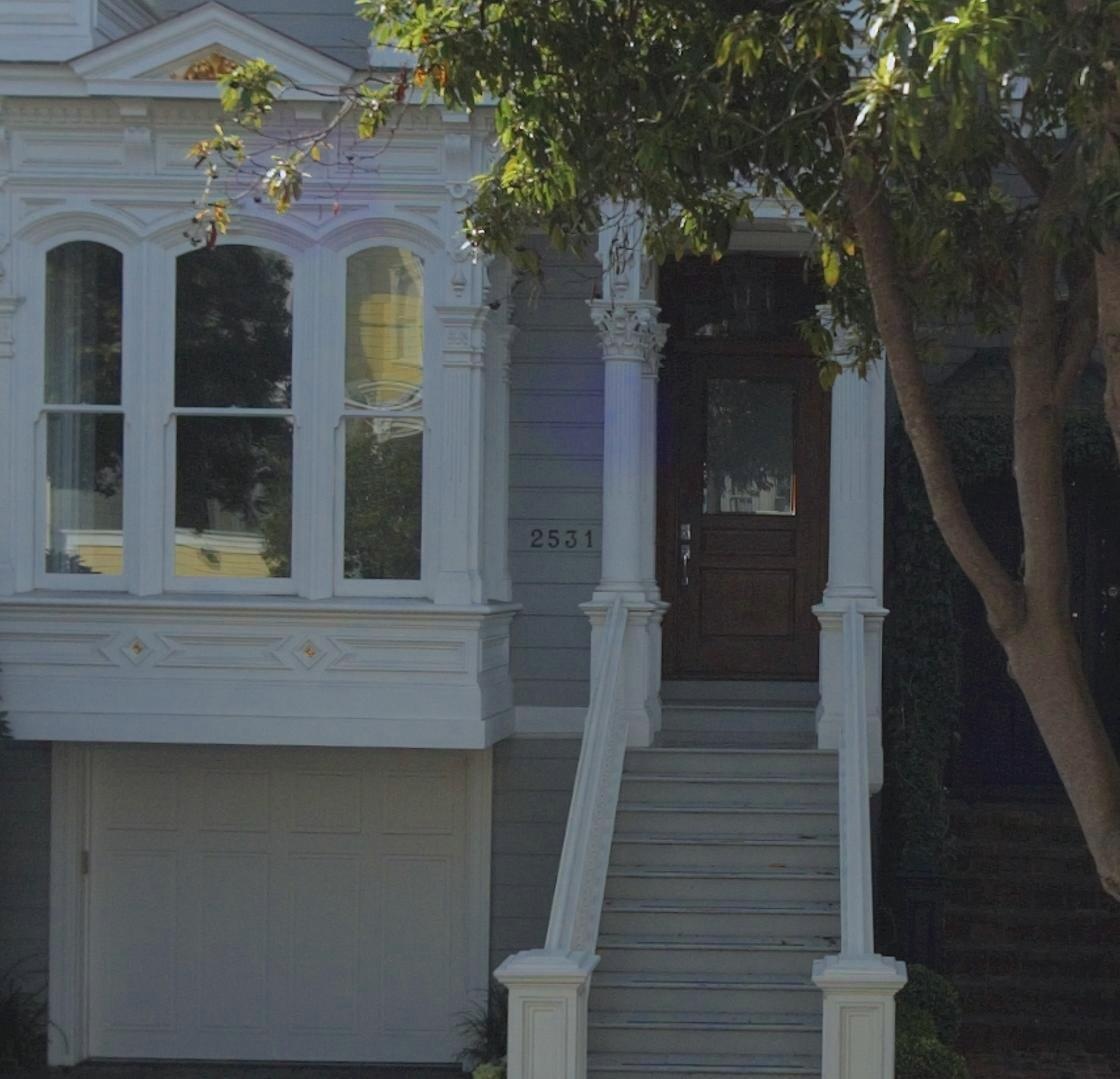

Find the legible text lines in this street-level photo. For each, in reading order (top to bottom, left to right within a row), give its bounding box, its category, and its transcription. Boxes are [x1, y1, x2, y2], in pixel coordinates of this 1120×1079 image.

[528, 527, 595, 550] StreetNumber: 2531